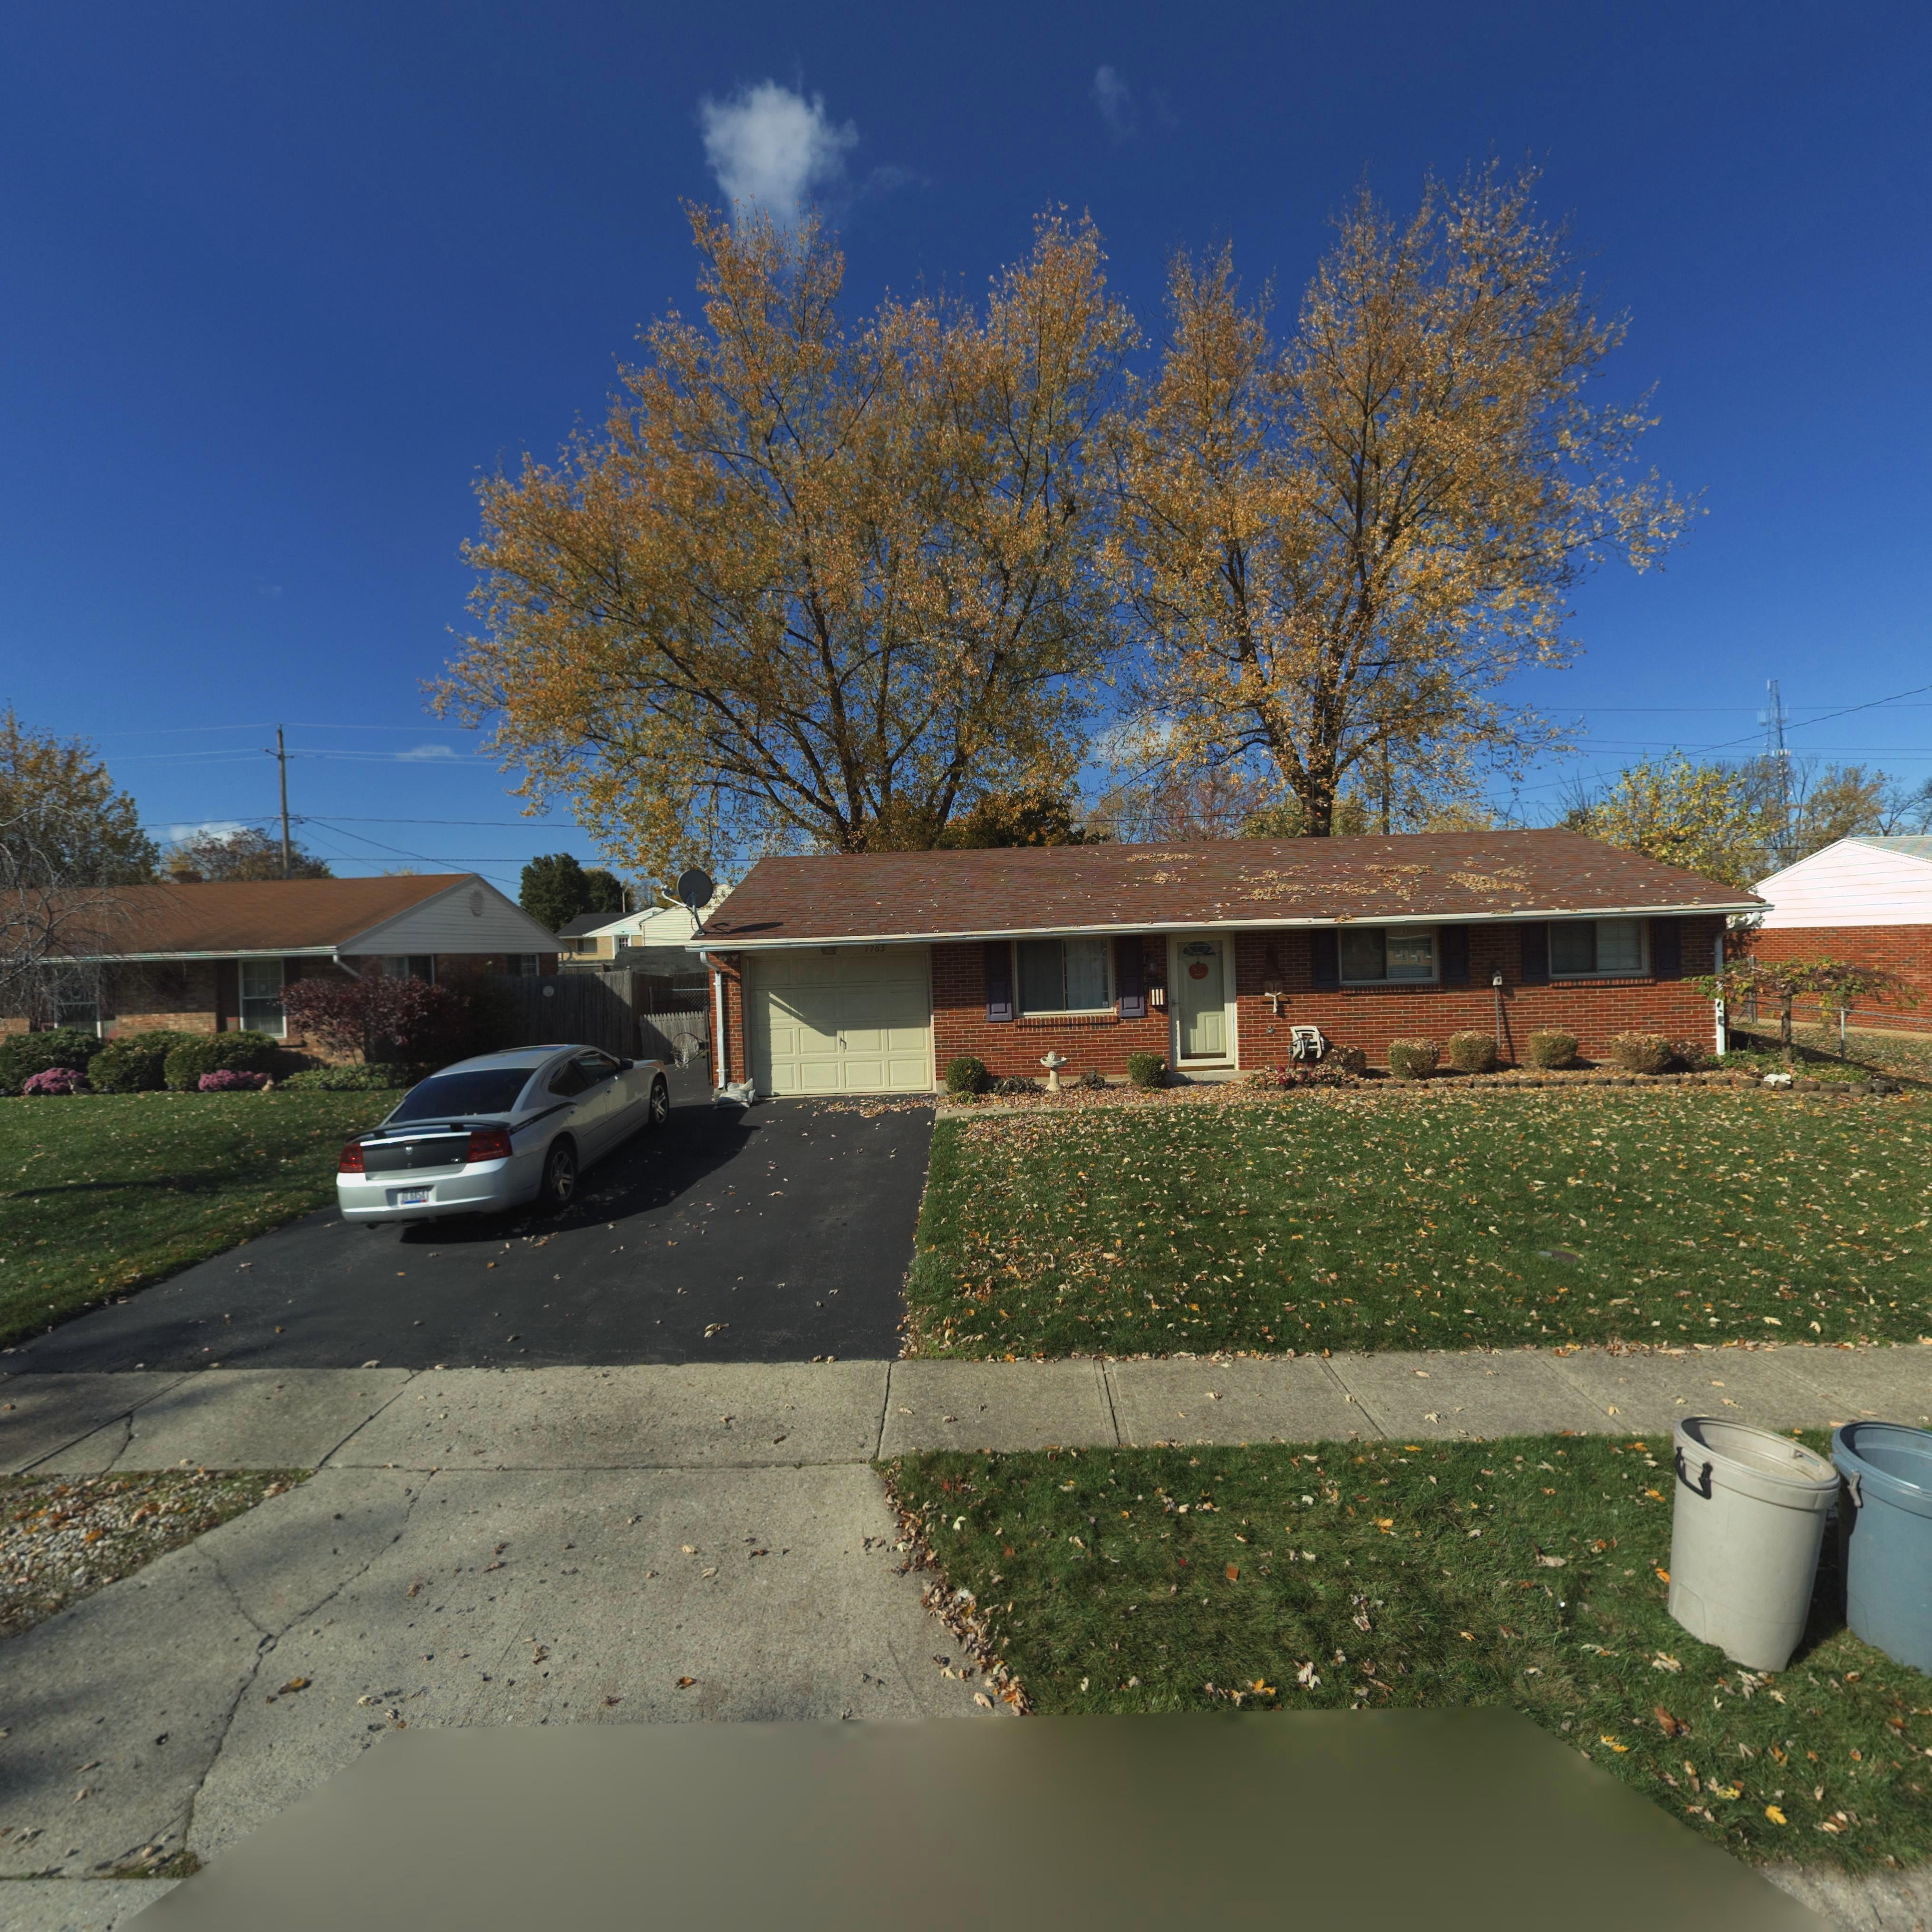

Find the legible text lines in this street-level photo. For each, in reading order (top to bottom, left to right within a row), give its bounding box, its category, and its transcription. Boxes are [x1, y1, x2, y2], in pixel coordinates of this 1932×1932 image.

[864, 944, 886, 954] StreetNumber: 7765